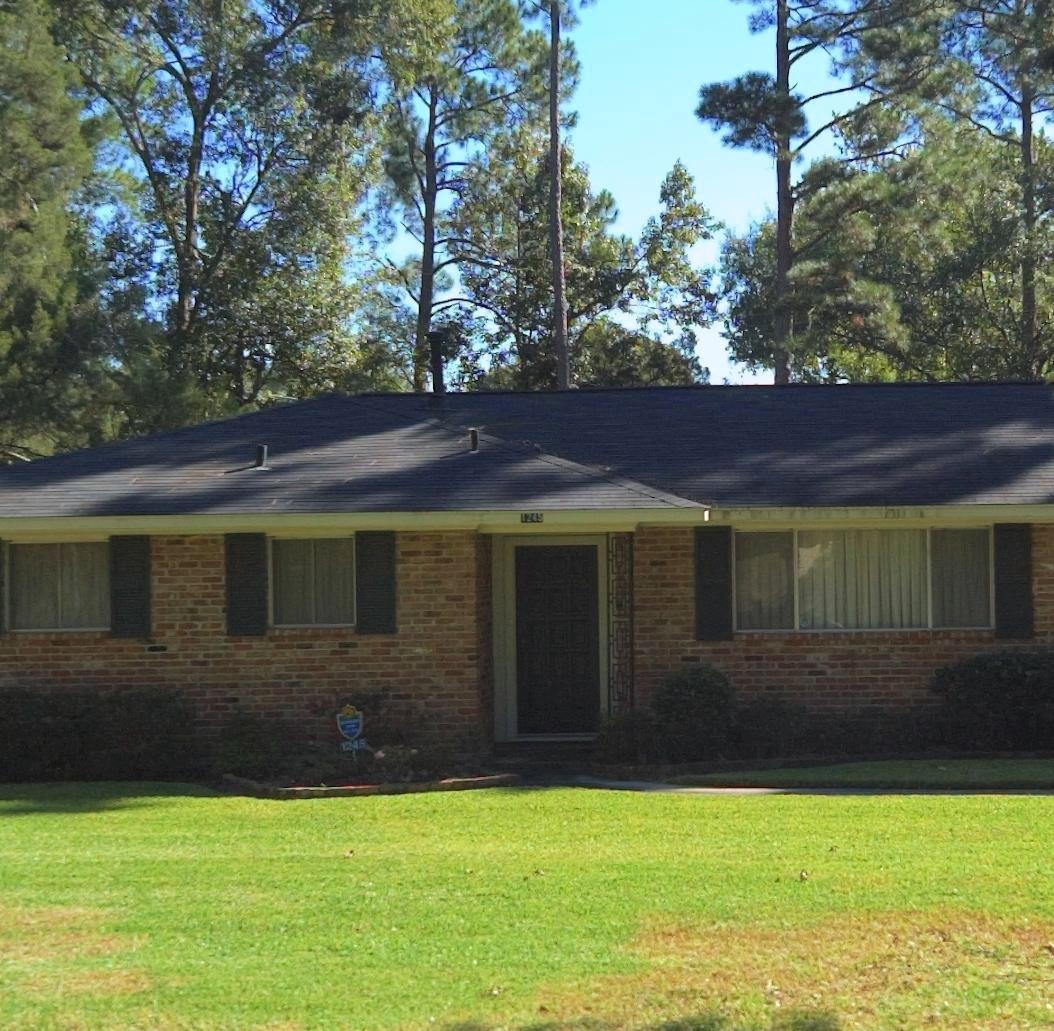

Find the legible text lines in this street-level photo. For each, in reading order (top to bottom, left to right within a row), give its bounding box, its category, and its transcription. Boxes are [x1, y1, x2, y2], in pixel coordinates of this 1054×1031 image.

[520, 512, 544, 523] StreetNumber: 1245
[338, 736, 369, 754] StreetNumber: 1245